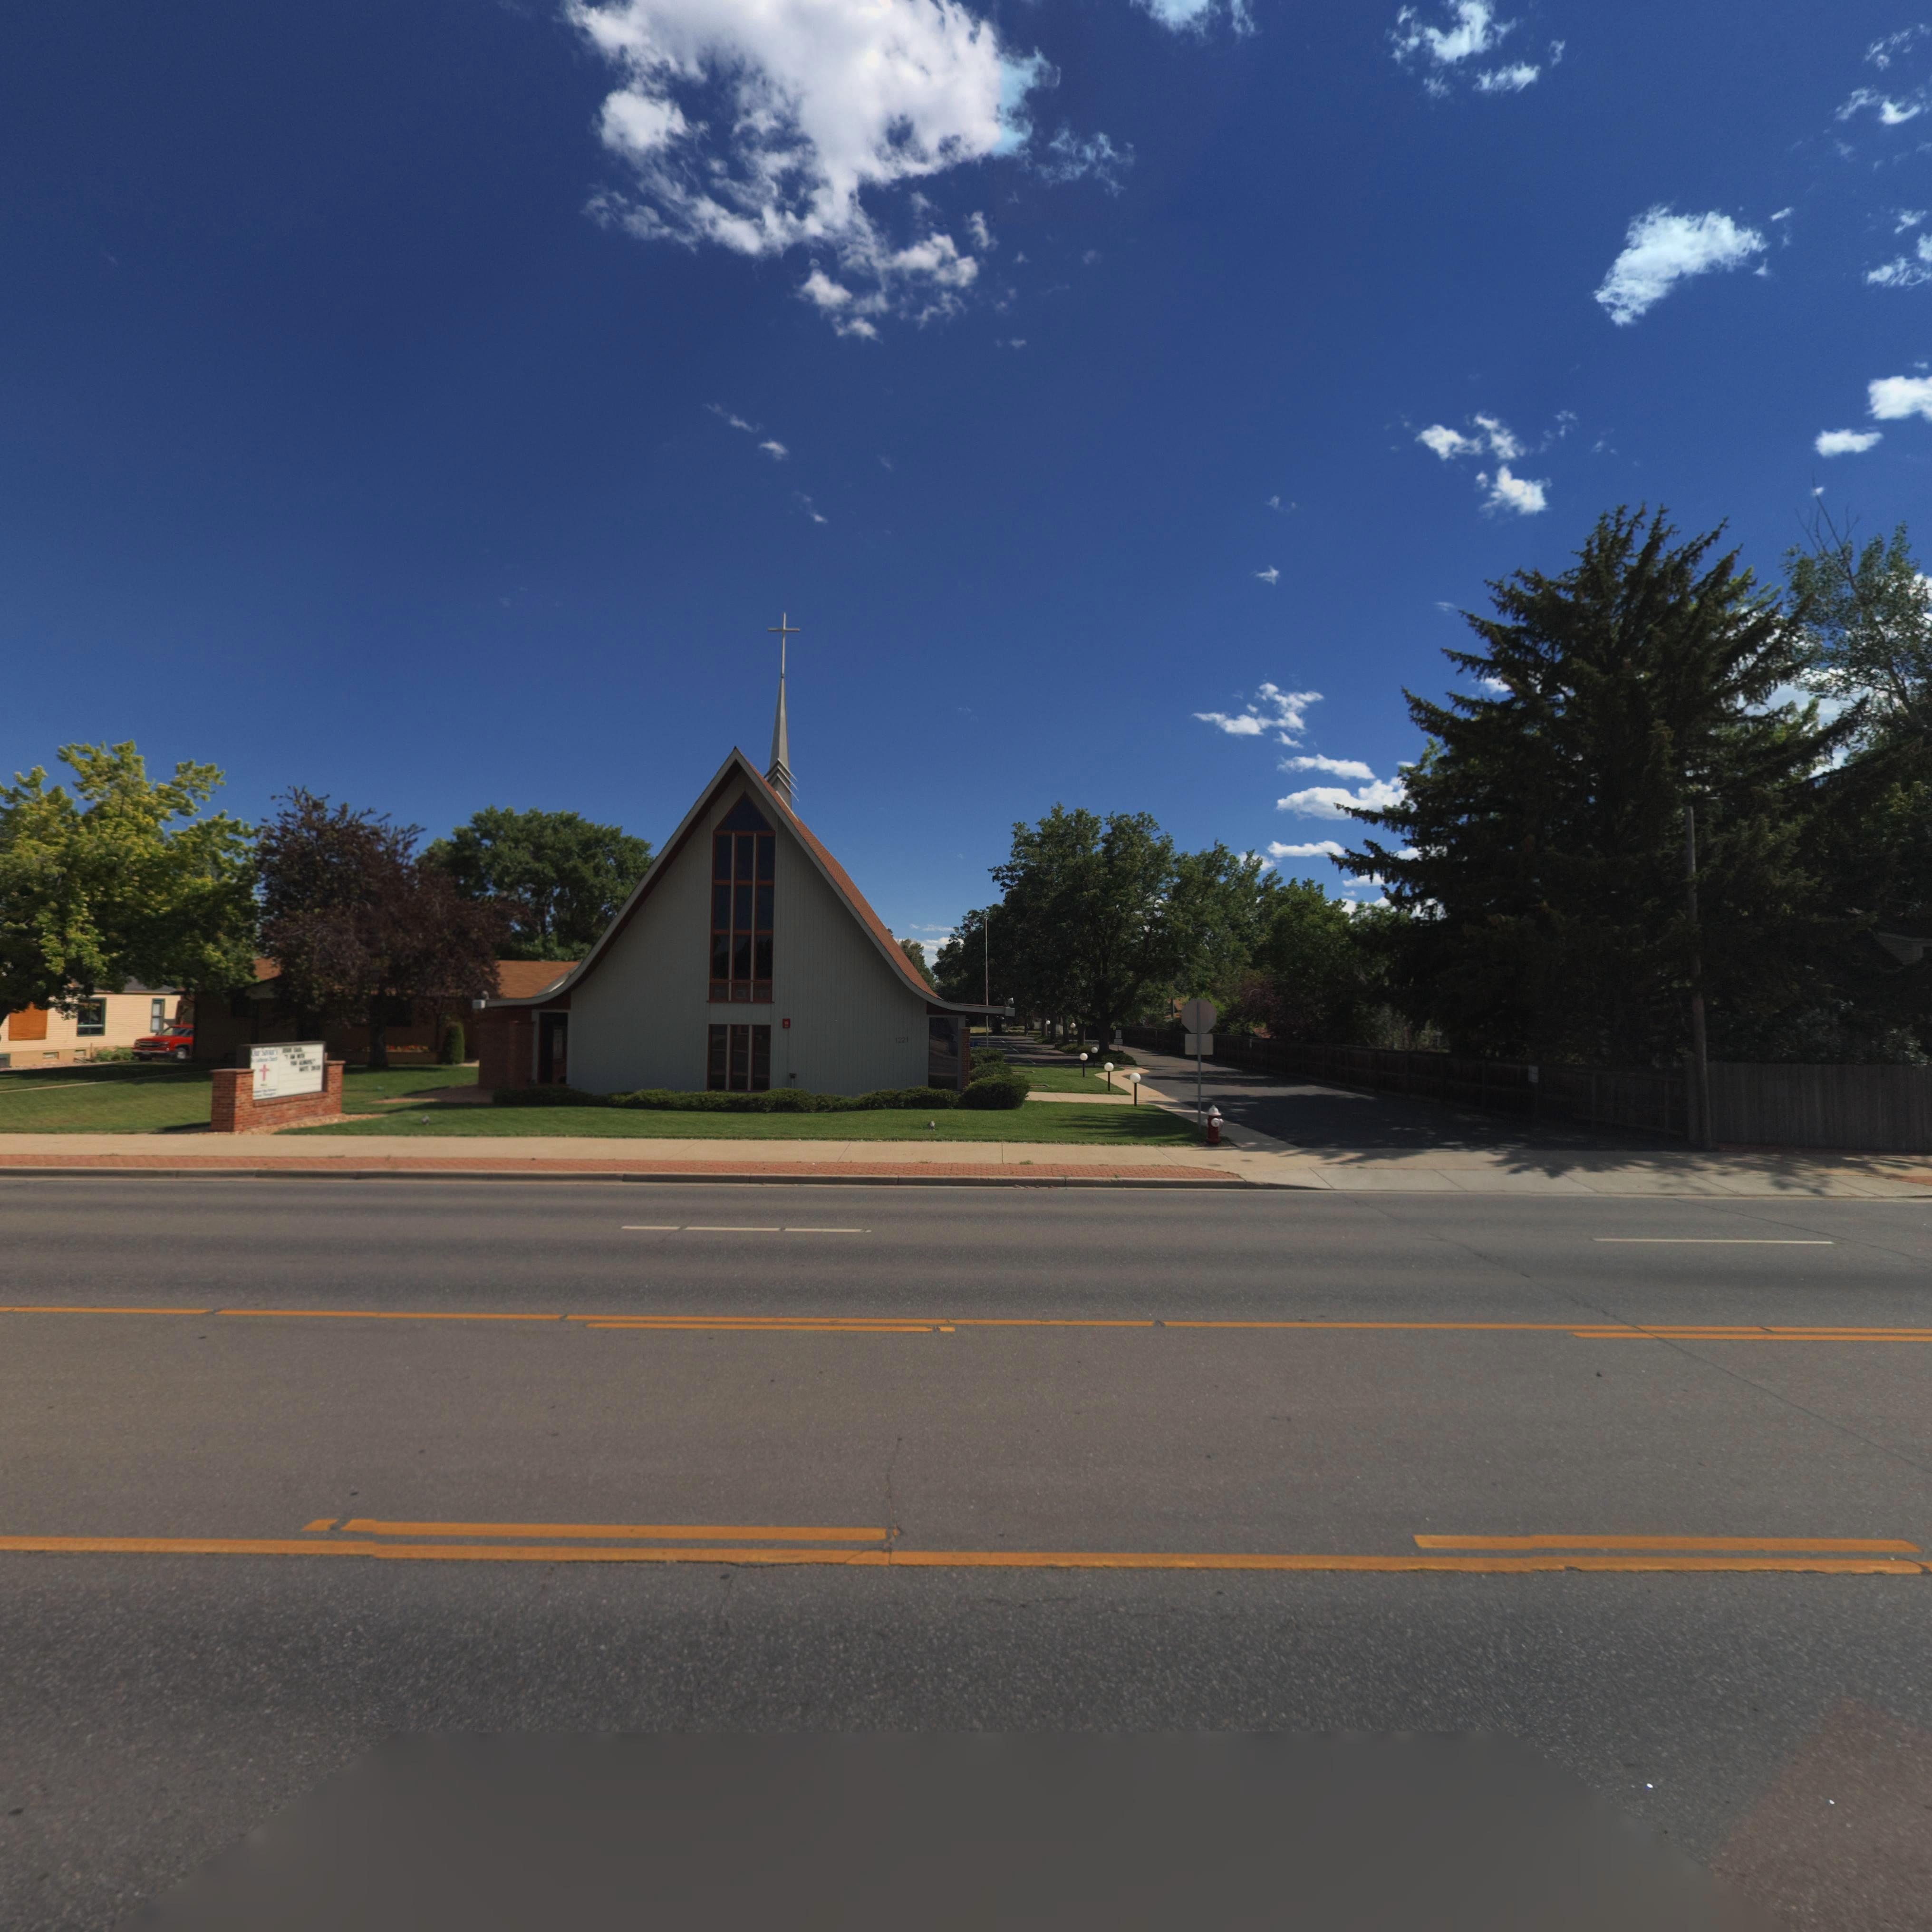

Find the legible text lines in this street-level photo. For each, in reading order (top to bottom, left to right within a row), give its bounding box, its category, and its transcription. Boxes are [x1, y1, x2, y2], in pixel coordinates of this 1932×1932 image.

[895, 1036, 908, 1043] StreetNumber: 1221
[251, 1047, 279, 1057] BusinessName: Our Savior's
[250, 1055, 279, 1063] BusinessName: Ex Luthern Church